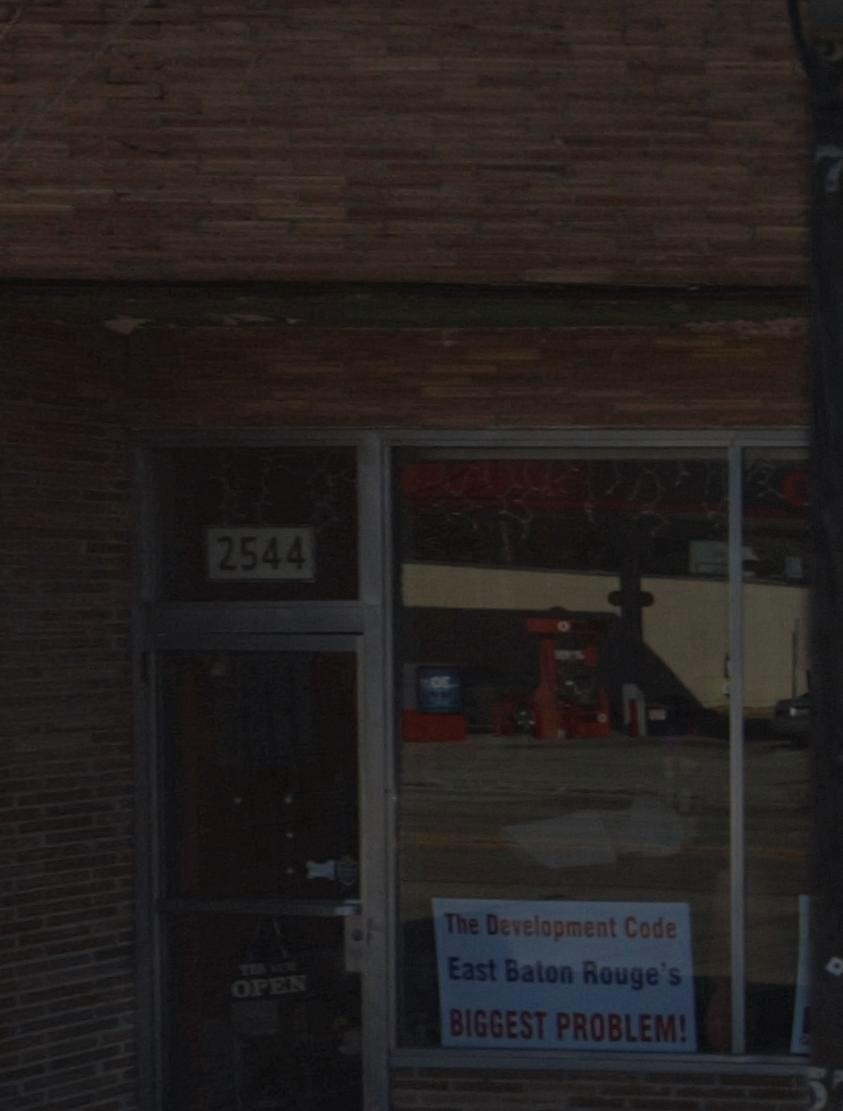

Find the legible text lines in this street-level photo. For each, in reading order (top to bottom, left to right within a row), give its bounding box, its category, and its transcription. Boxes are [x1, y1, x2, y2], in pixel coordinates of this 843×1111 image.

[213, 530, 309, 577] StreetNumber: 2544
[438, 910, 682, 944] None: The Development Code
[227, 970, 309, 1002] None: OPEN
[444, 953, 685, 994] None: East Baton Rouge's
[446, 1005, 691, 1047] None: BIGGEST PROBLEM!